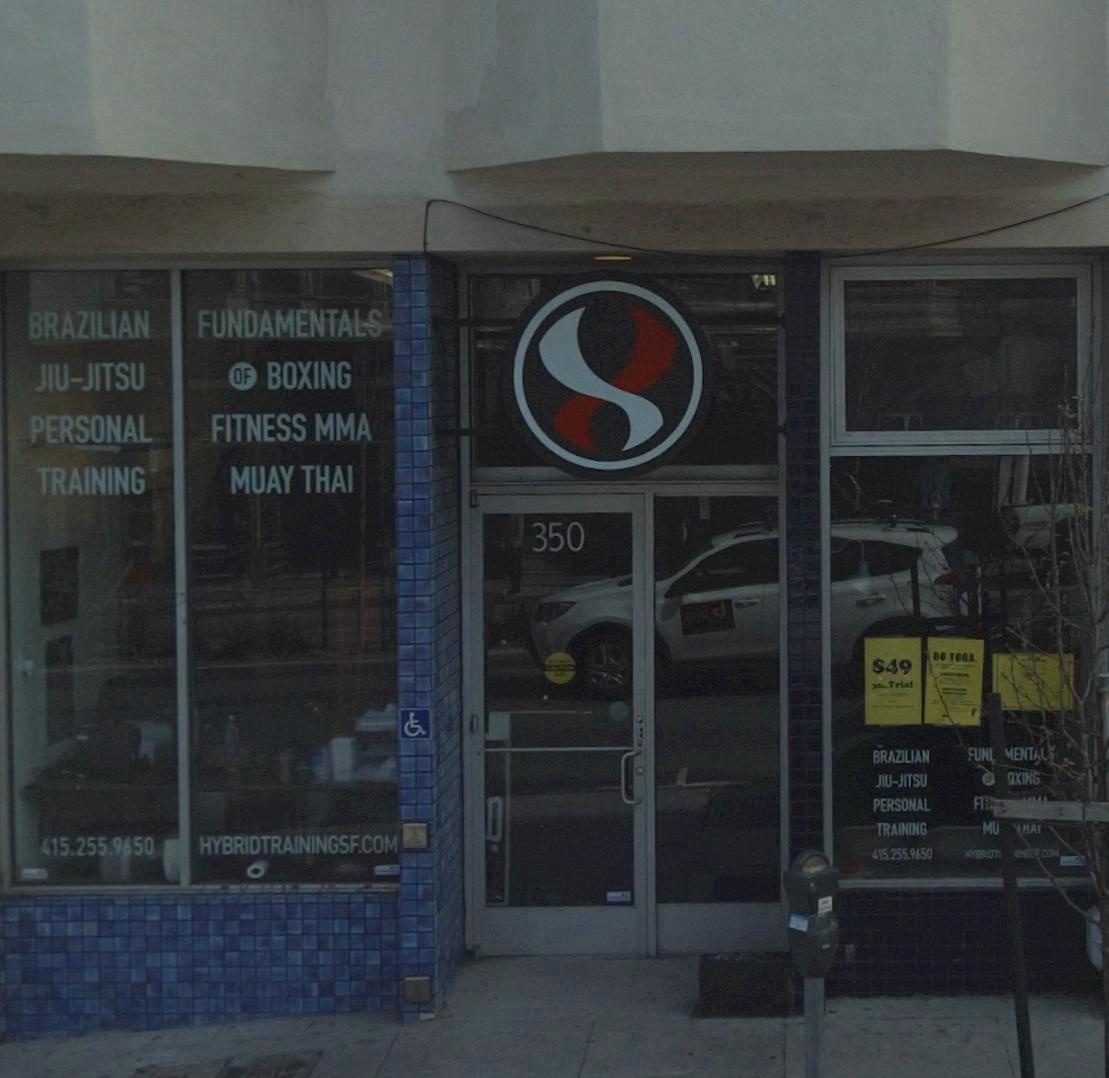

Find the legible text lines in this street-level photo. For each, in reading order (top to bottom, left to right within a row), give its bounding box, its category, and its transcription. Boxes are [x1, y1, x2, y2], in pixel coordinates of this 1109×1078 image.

[26, 307, 152, 343] None: BRAZILIAN
[193, 305, 388, 342] None: FUNDAMENTALS
[30, 358, 149, 395] None: JIU-JITSU
[231, 357, 354, 393] None: OF BOXING
[26, 409, 156, 448] None: PERSONAL
[209, 409, 377, 446] None: FITNESS MMA
[32, 462, 149, 499] None: TRAINING
[227, 461, 356, 497] None: MUAY THAI
[529, 519, 587, 555] StreetNumber: 350
[883, 655, 914, 678] None: 49
[886, 678, 915, 690] None: Trial
[636, 714, 645, 741] None: PULL
[870, 746, 932, 767] None: BRAZILIAN
[966, 744, 991, 764] None: FUN
[1012, 744, 1036, 762] None: ENT
[872, 771, 930, 791] None: JIU-JITSU
[1005, 768, 1042, 788] None: OXING
[871, 794, 933, 815] None: PERSONAL
[971, 793, 987, 813] None: FI
[874, 819, 930, 839] None: TRAINING
[980, 818, 995, 837] None: M
[37, 833, 157, 859] None: 415.255.9650
[197, 832, 401, 859] None: HYBRIDTRAININGSF.COM
[869, 845, 935, 863] None: 415.255.9650